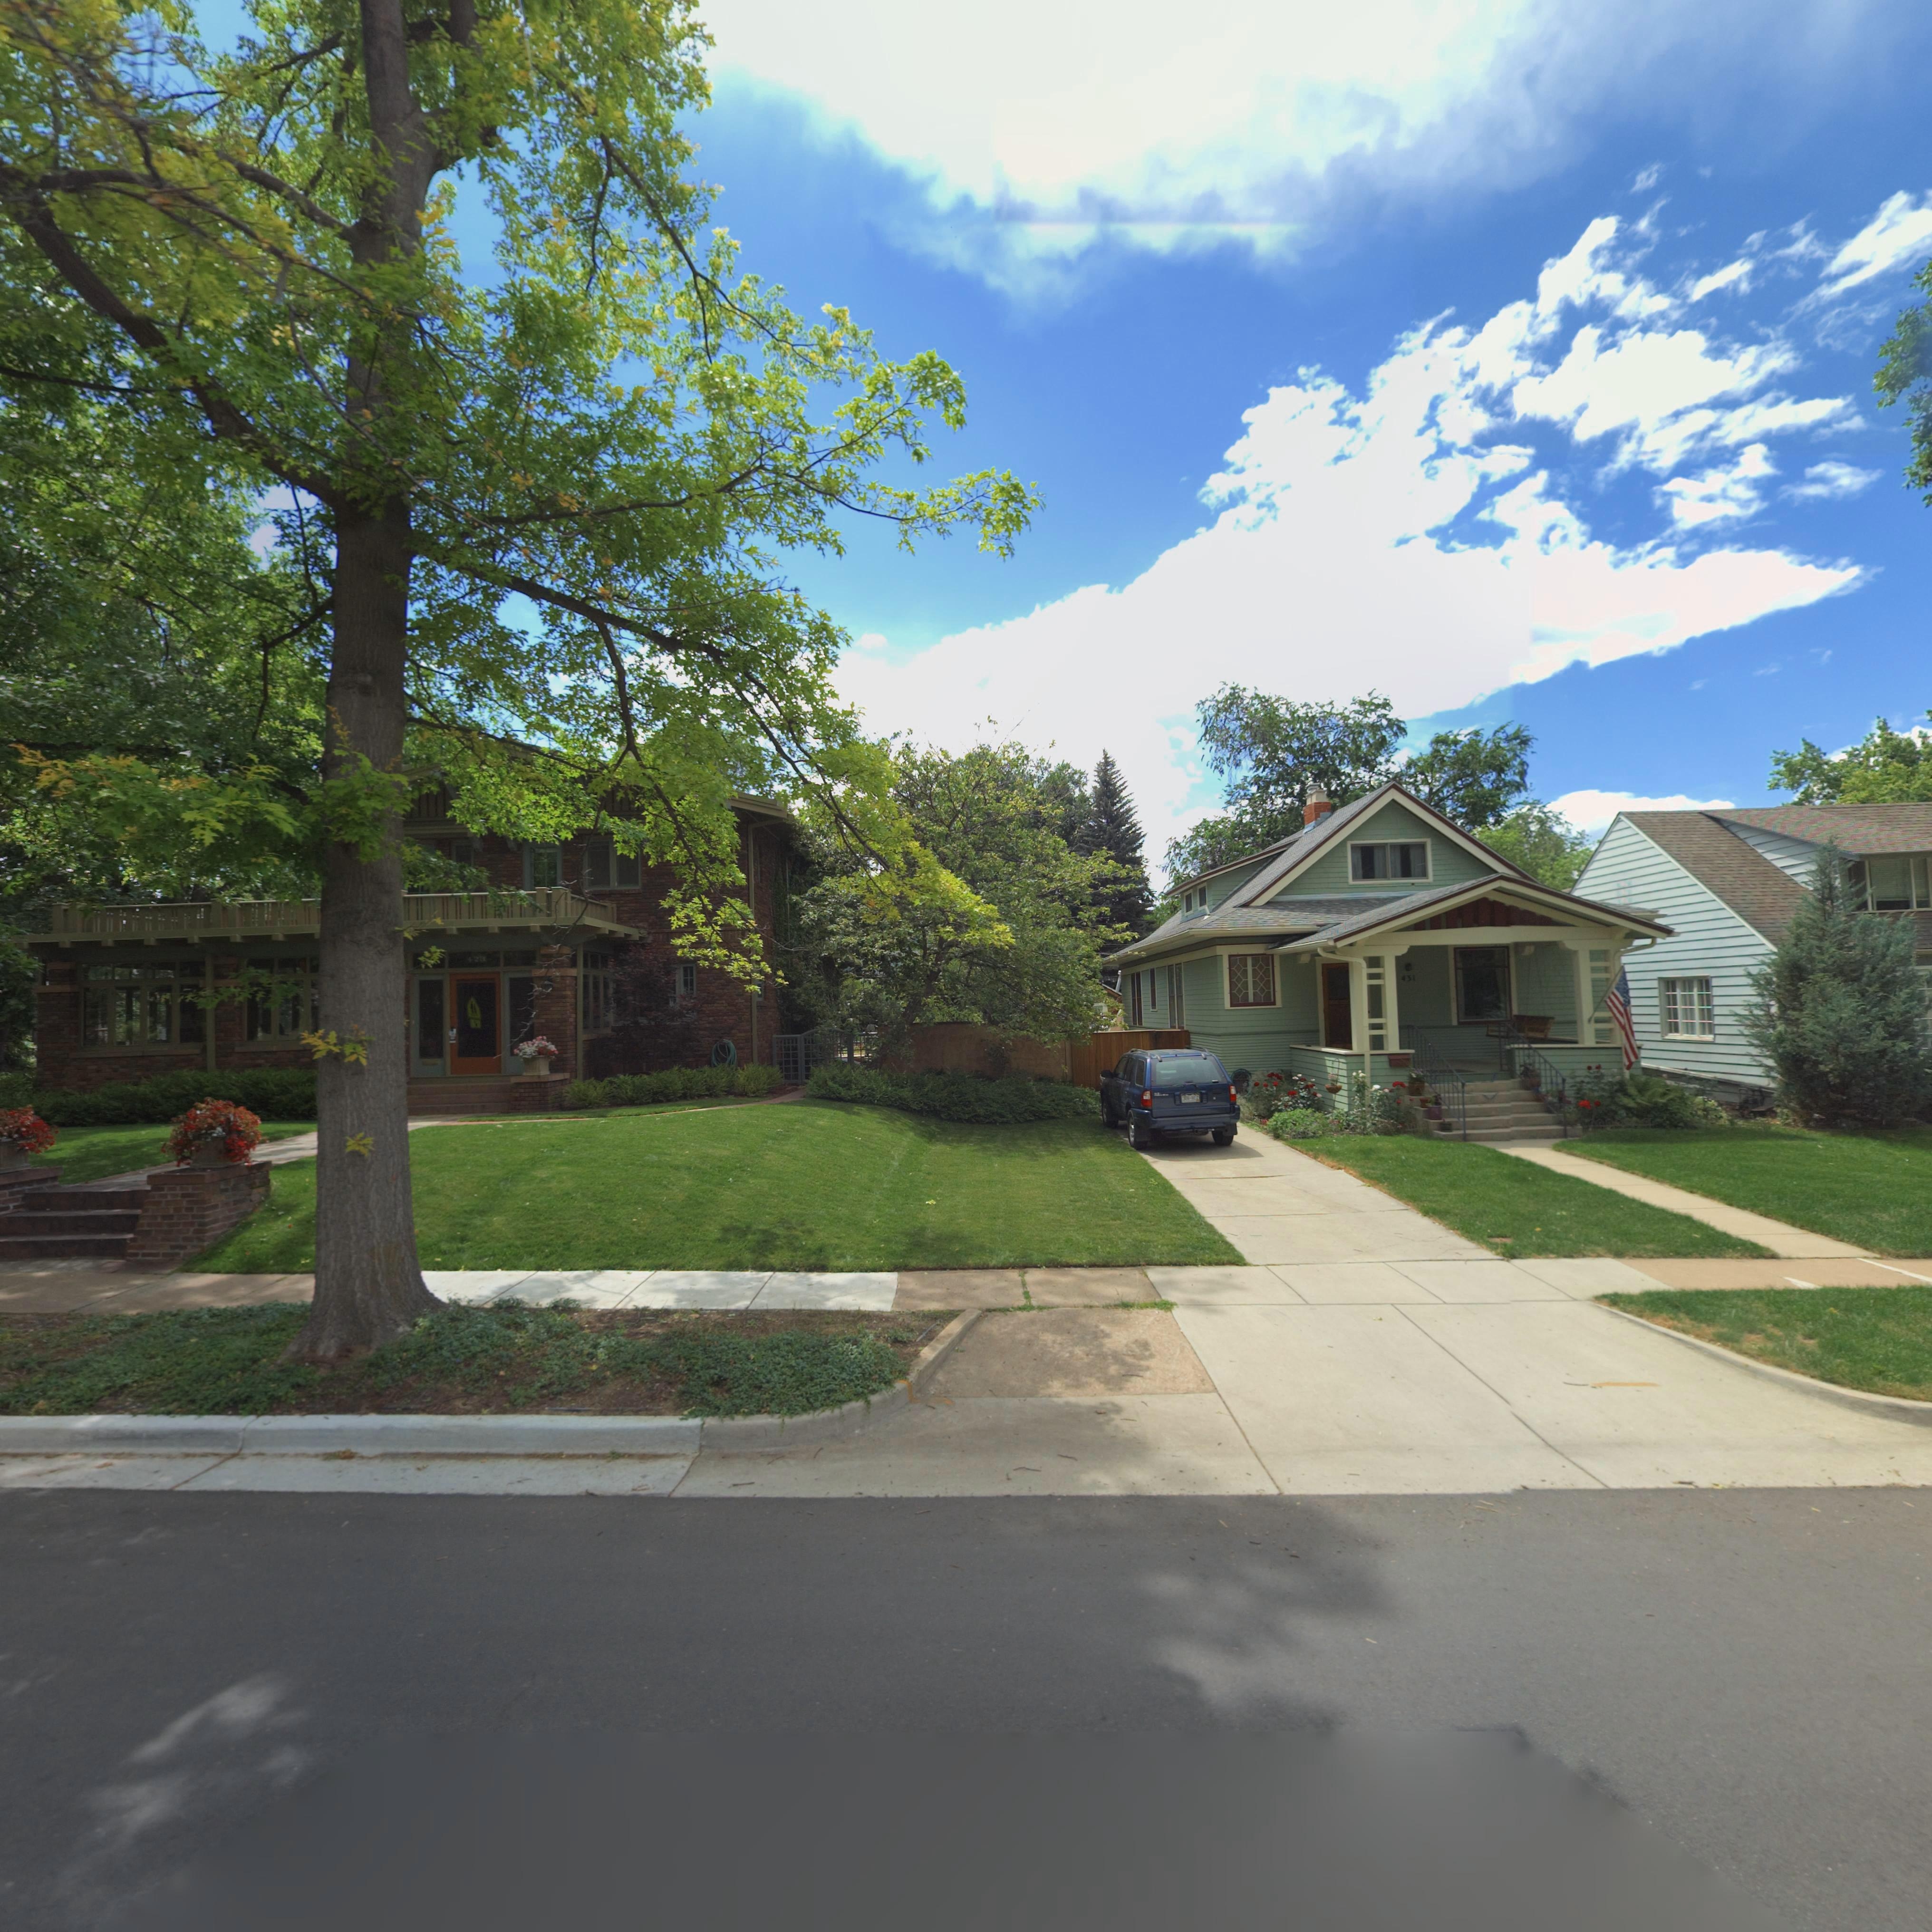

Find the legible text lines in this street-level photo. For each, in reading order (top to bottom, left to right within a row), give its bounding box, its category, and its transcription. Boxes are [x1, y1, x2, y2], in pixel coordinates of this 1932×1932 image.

[1401, 974, 1416, 982] StreetNumber: 431